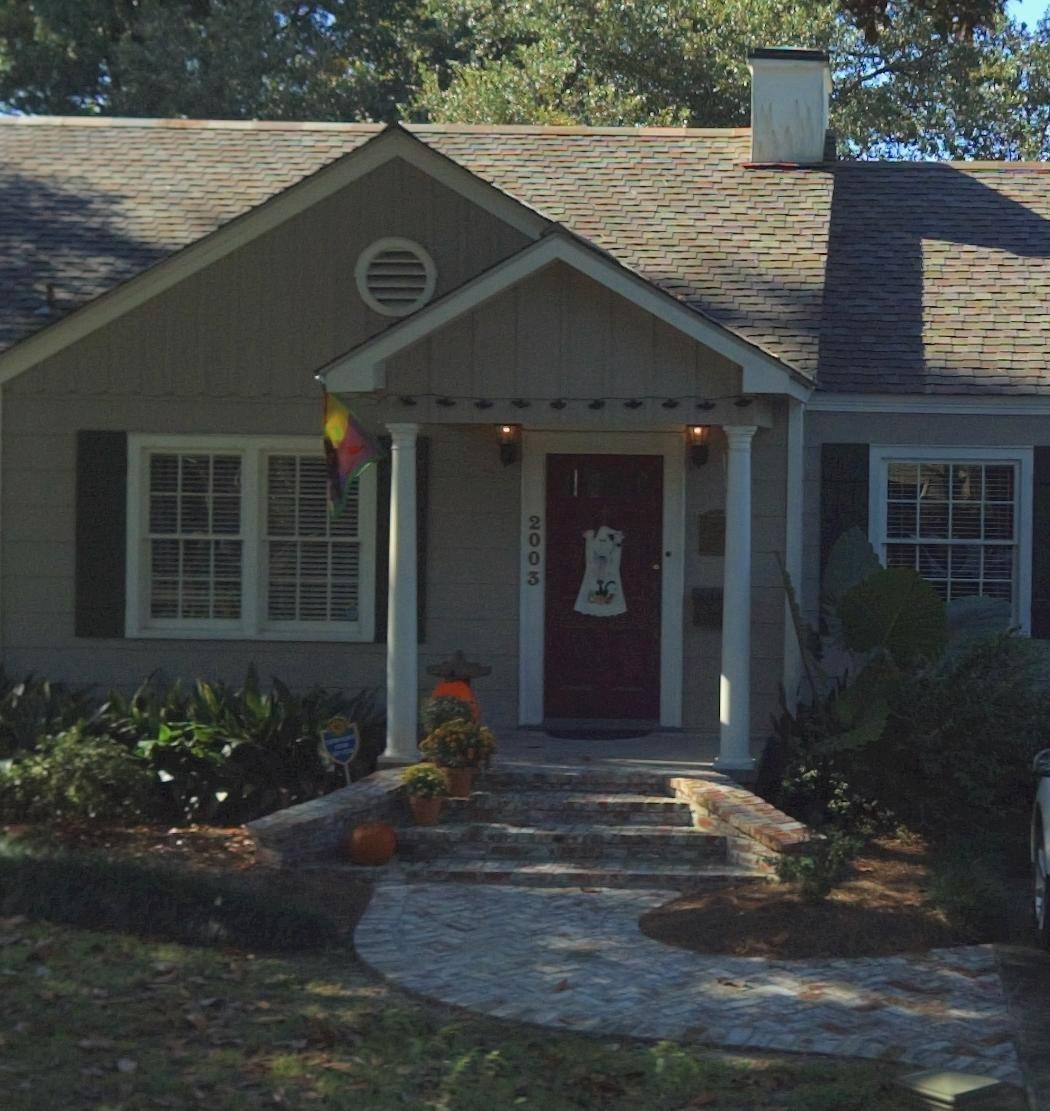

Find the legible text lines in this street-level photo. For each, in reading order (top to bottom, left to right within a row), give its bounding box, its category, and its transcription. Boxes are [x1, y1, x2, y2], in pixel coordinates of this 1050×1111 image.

[525, 513, 543, 588] StreetNumber: 2003